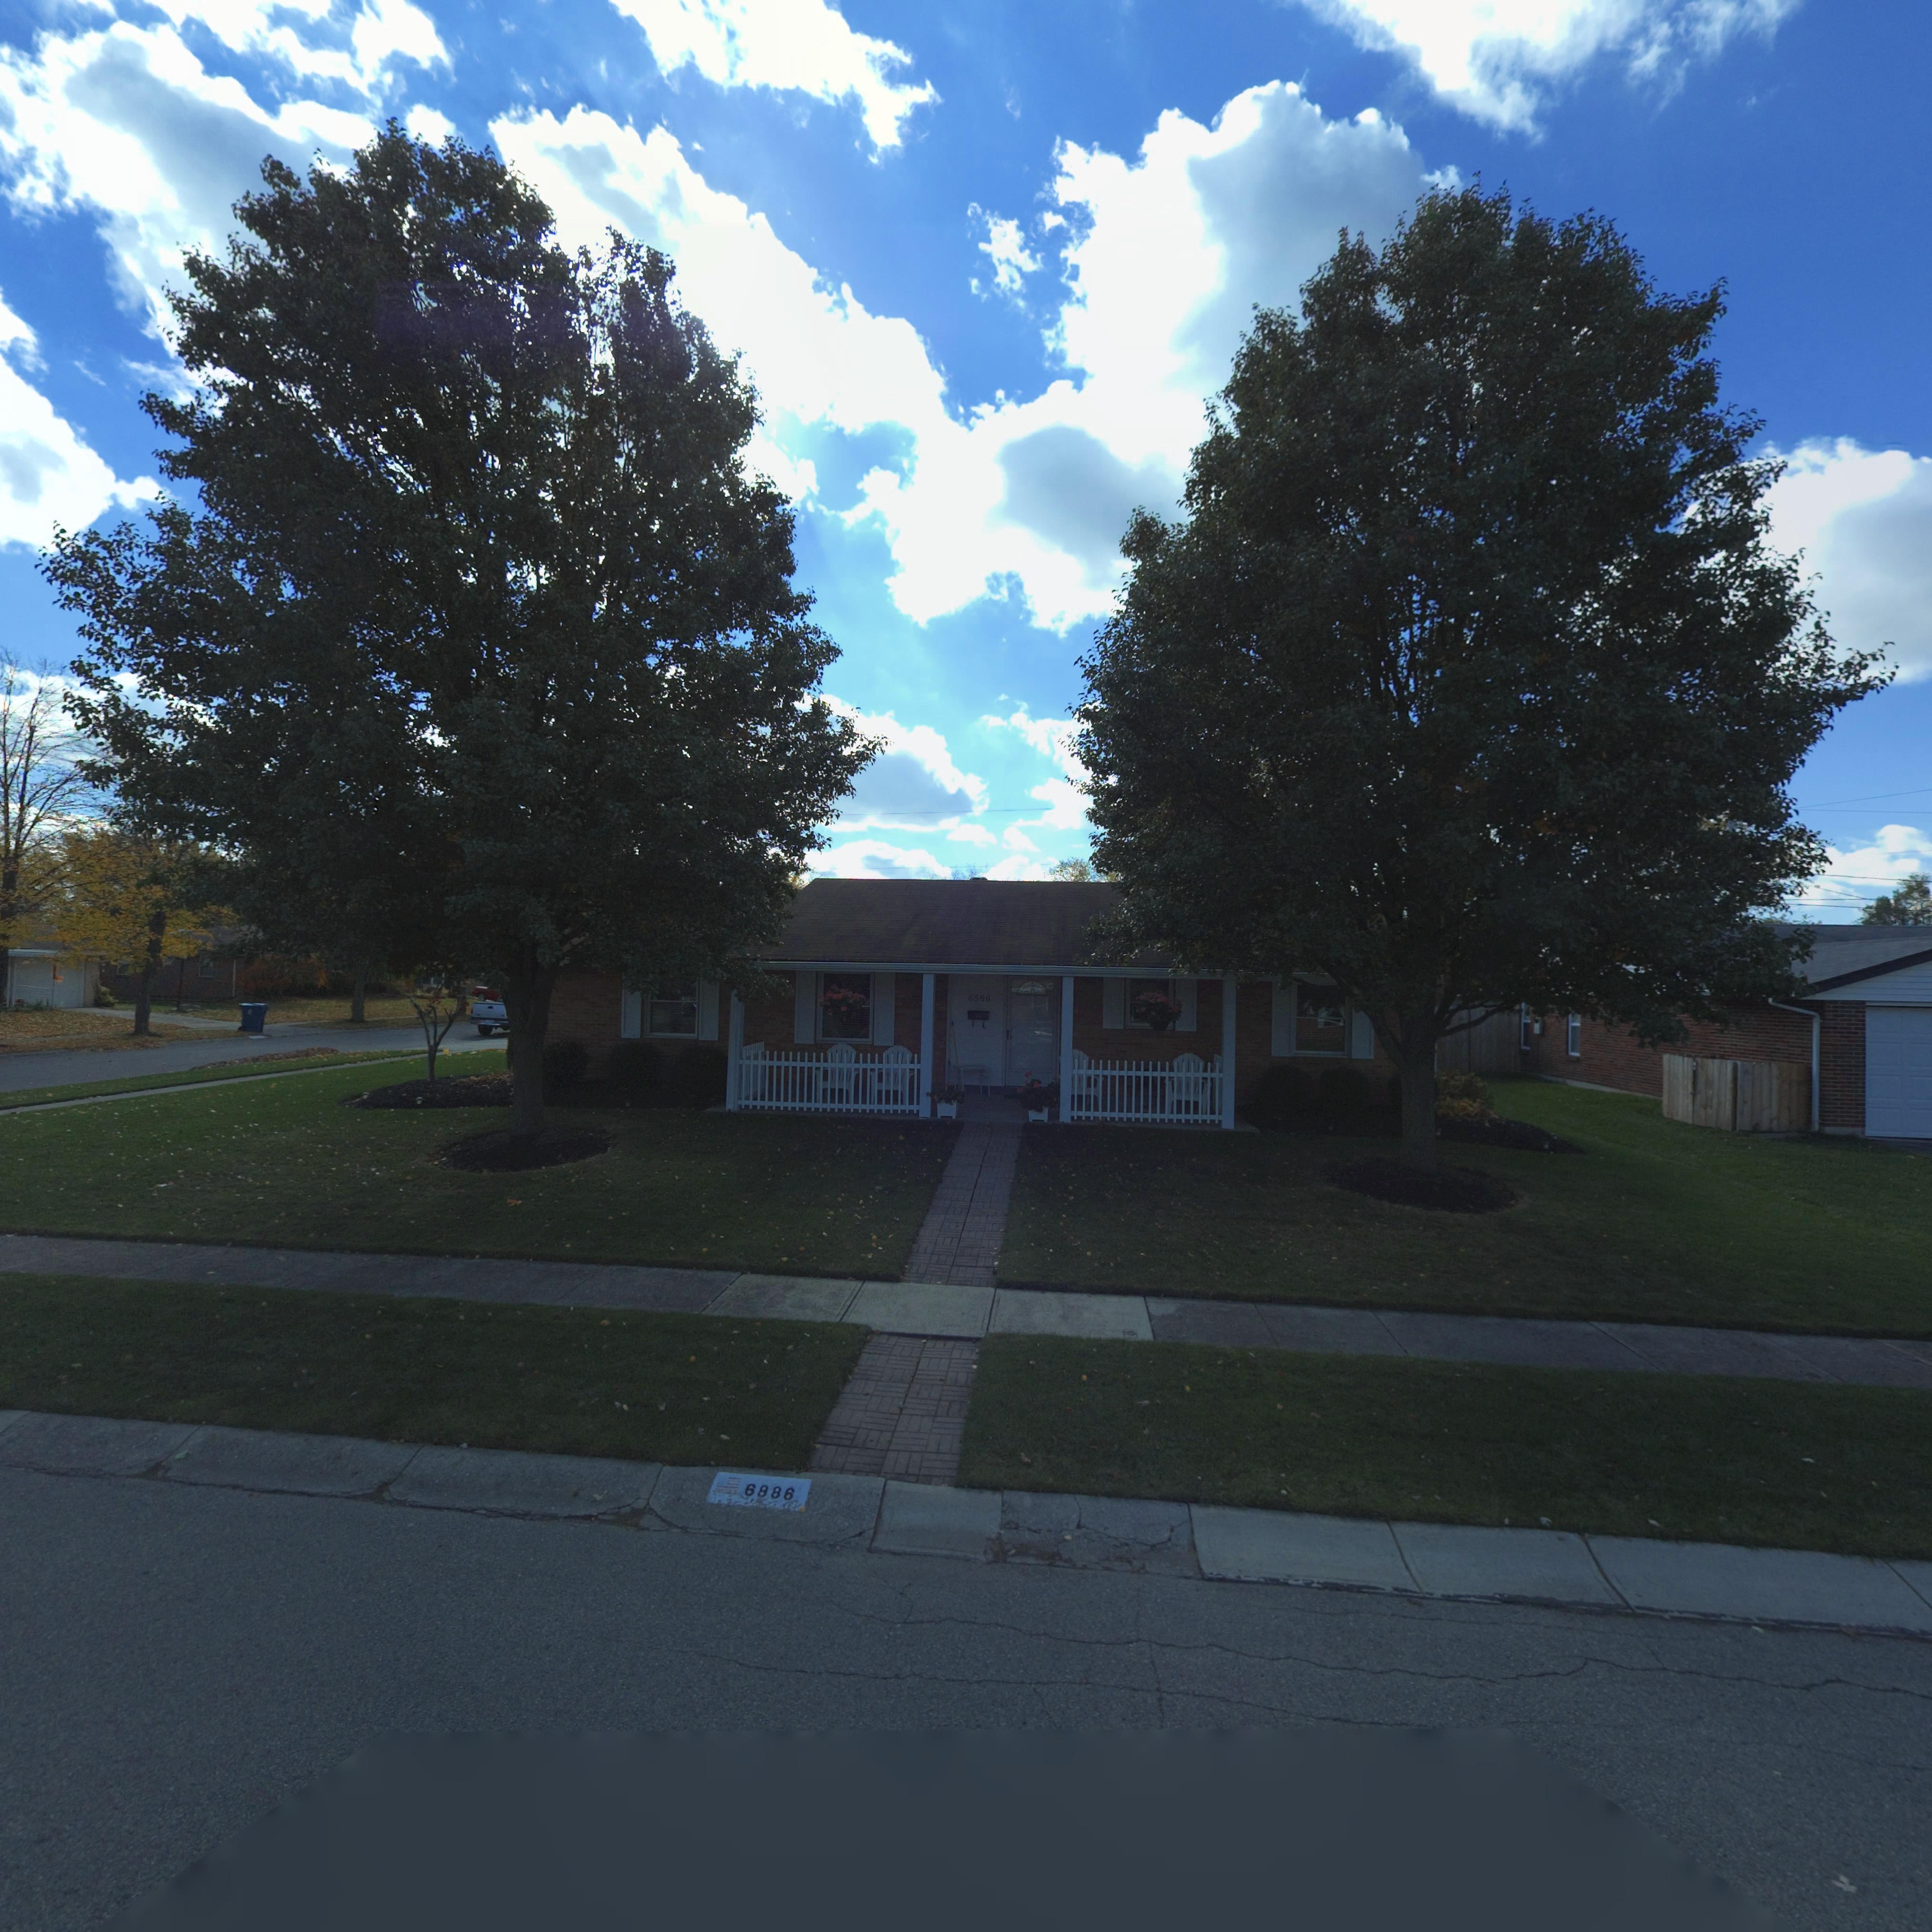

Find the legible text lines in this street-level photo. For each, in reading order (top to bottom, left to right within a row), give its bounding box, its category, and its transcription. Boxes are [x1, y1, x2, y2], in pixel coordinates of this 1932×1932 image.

[967, 994, 991, 1003] StreetNumber: 6886
[744, 1482, 796, 1501] StreetNumber: 6886